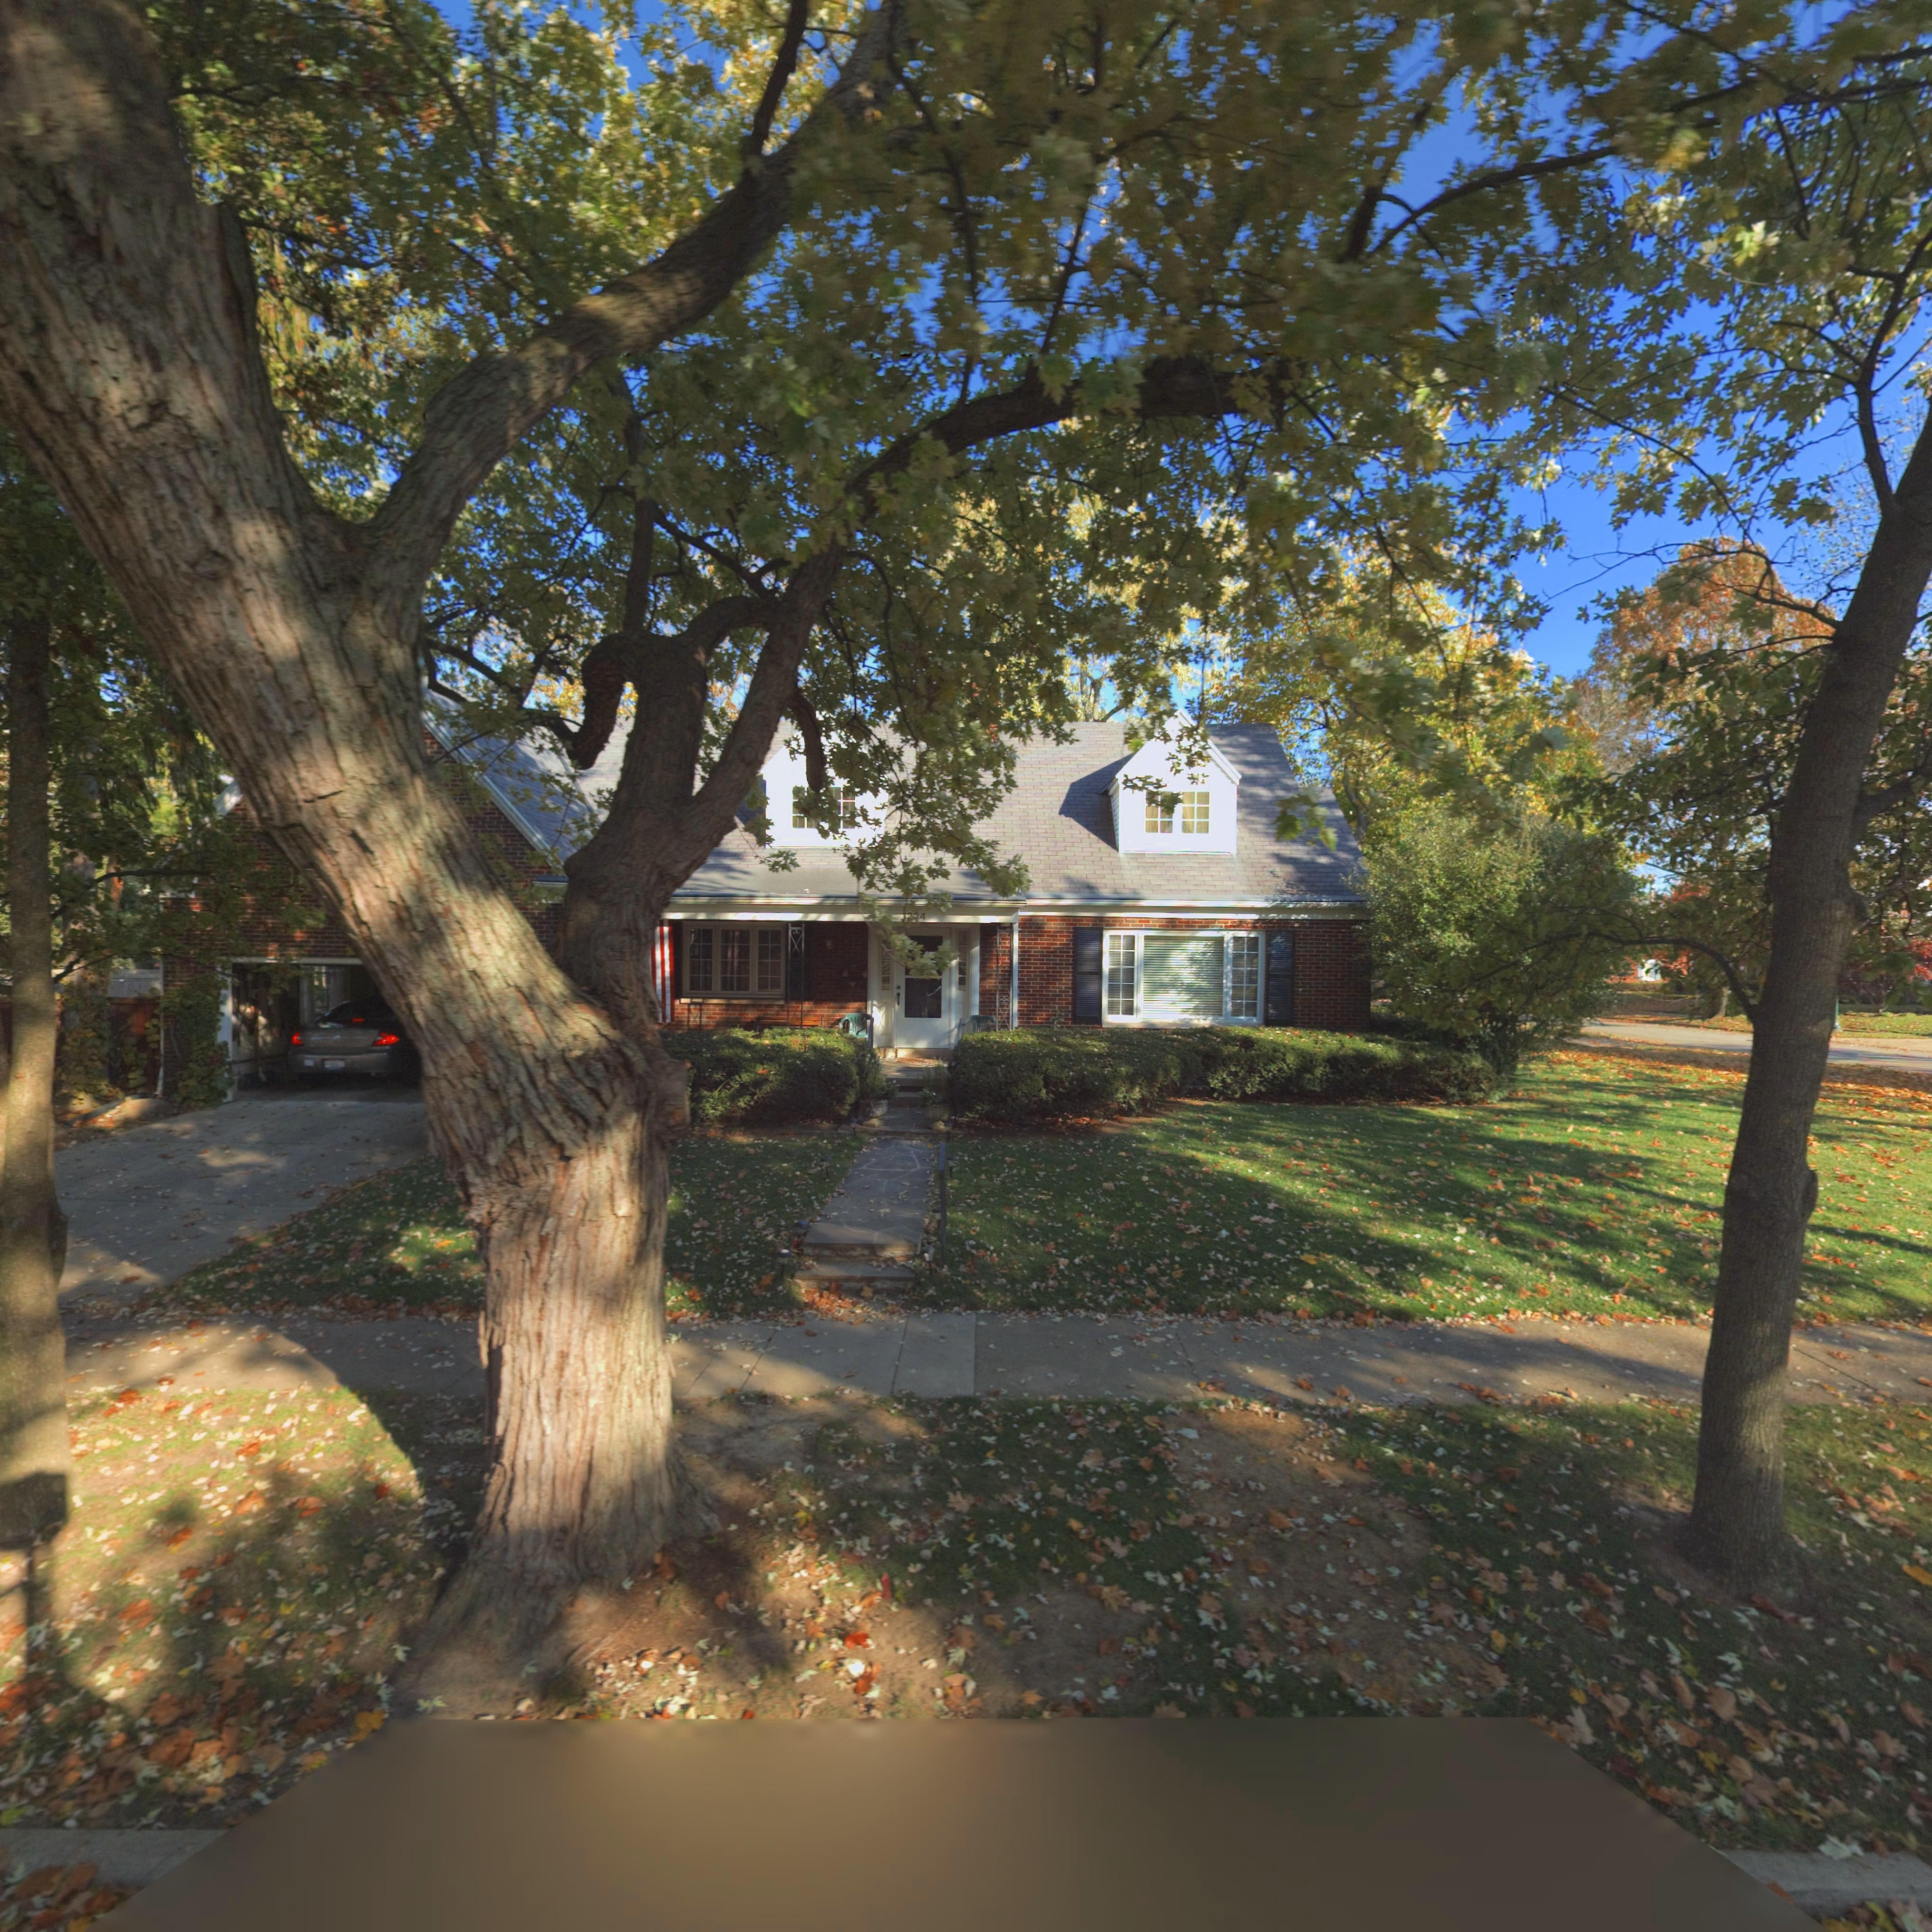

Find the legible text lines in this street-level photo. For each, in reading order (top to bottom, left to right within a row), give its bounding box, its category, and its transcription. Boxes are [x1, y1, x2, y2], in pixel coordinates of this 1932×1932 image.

[918, 911, 927, 921] StreetNumber: 4